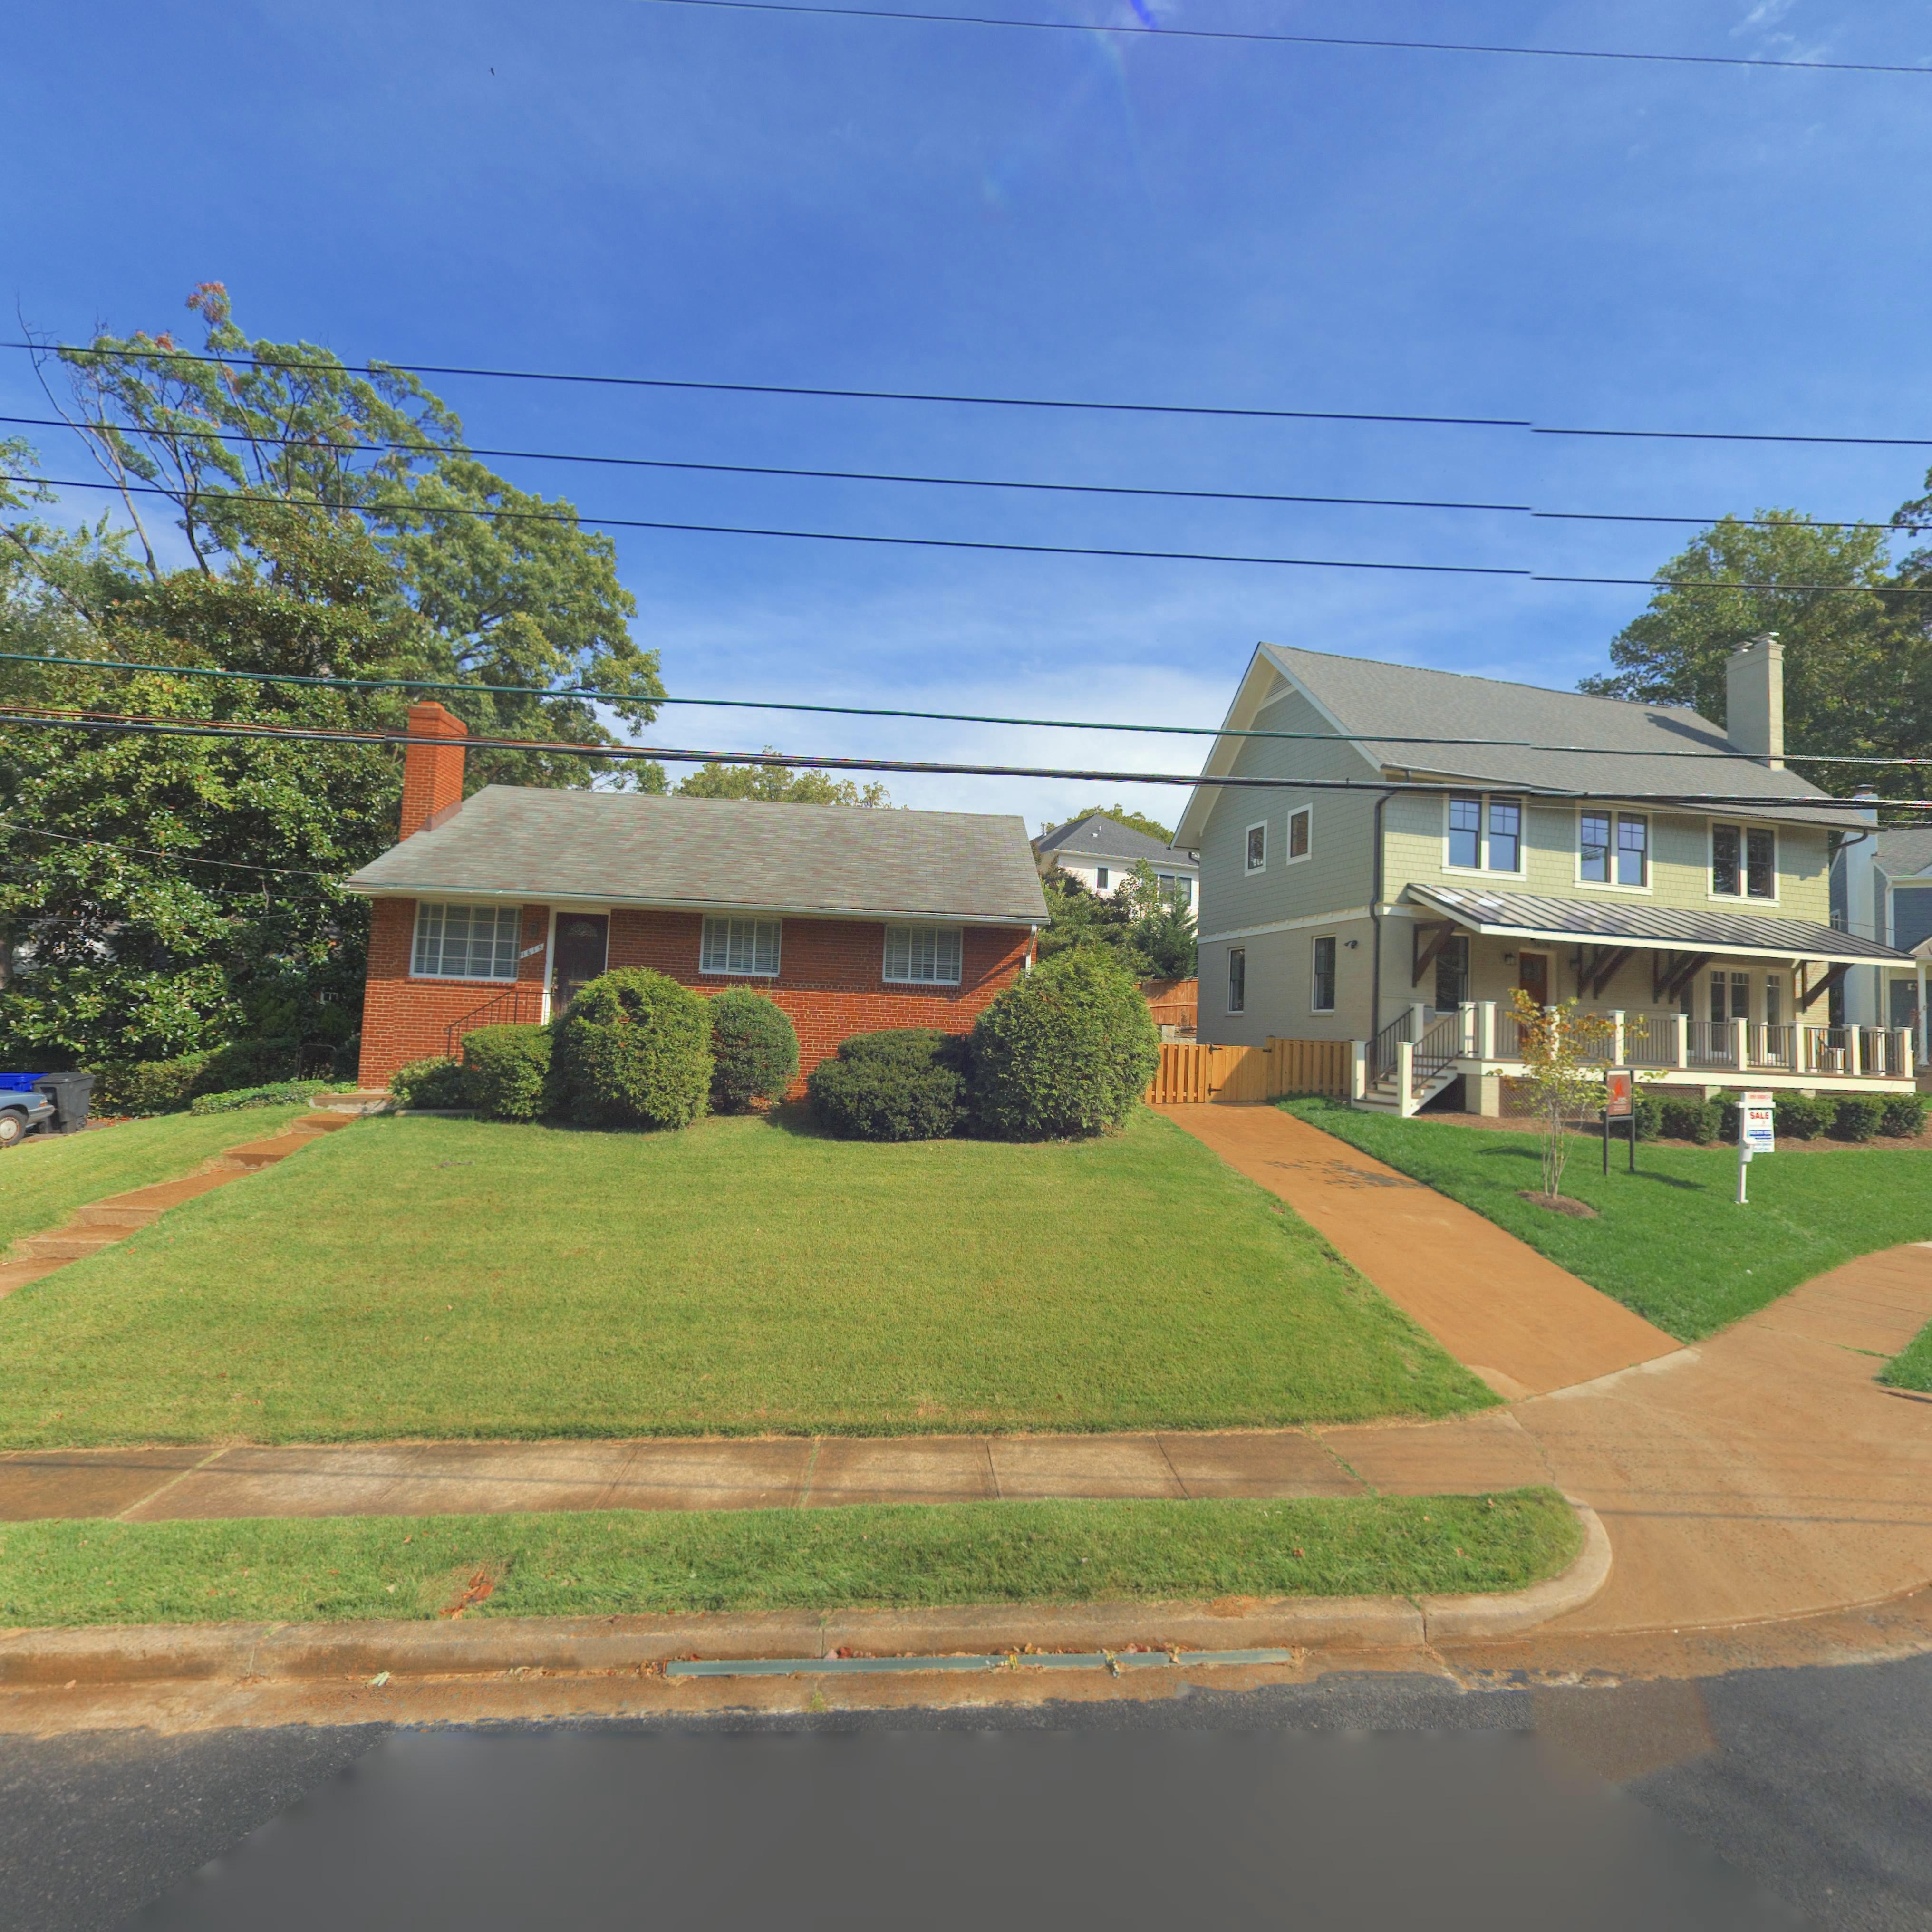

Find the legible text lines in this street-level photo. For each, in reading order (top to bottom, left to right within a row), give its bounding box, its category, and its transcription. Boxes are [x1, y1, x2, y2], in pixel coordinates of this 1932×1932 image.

[522, 943, 543, 958] StreetNumber: 1615
[1748, 1111, 1770, 1121] None: SALE